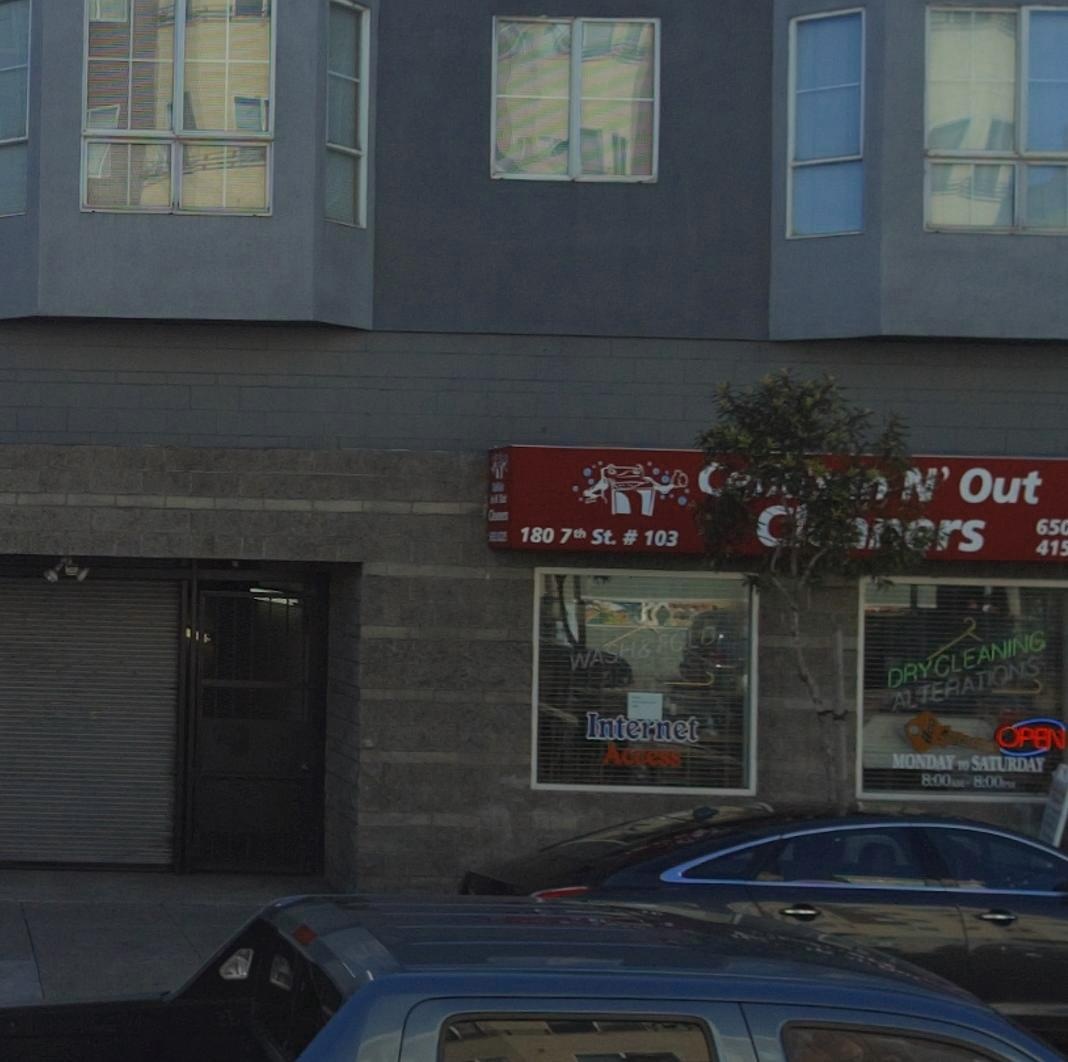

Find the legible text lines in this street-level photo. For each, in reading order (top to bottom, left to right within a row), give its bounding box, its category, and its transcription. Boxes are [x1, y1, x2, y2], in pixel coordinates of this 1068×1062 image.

[958, 465, 1045, 506] BusinessName: Out
[520, 525, 556, 545] StreetNumber: 180
[558, 526, 618, 546] None: 7th St.
[642, 528, 682, 548] None: 103
[958, 518, 988, 554] BusinessName: s
[1033, 537, 1061, 557] None: 41
[1034, 516, 1064, 537] None: 65
[565, 622, 719, 673] None: WASH & FOLD
[886, 627, 1048, 691] None: DRY CLEANING
[890, 652, 1043, 713] None: ALTERATIONS
[583, 708, 701, 744] None: Internet
[993, 723, 1067, 750] None: OPEN
[598, 740, 684, 769] None: Access
[890, 750, 1049, 773] None: MONDAY TO SATURDAY
[920, 771, 953, 788] None: 8:00
[971, 773, 1006, 791] None: 8:00